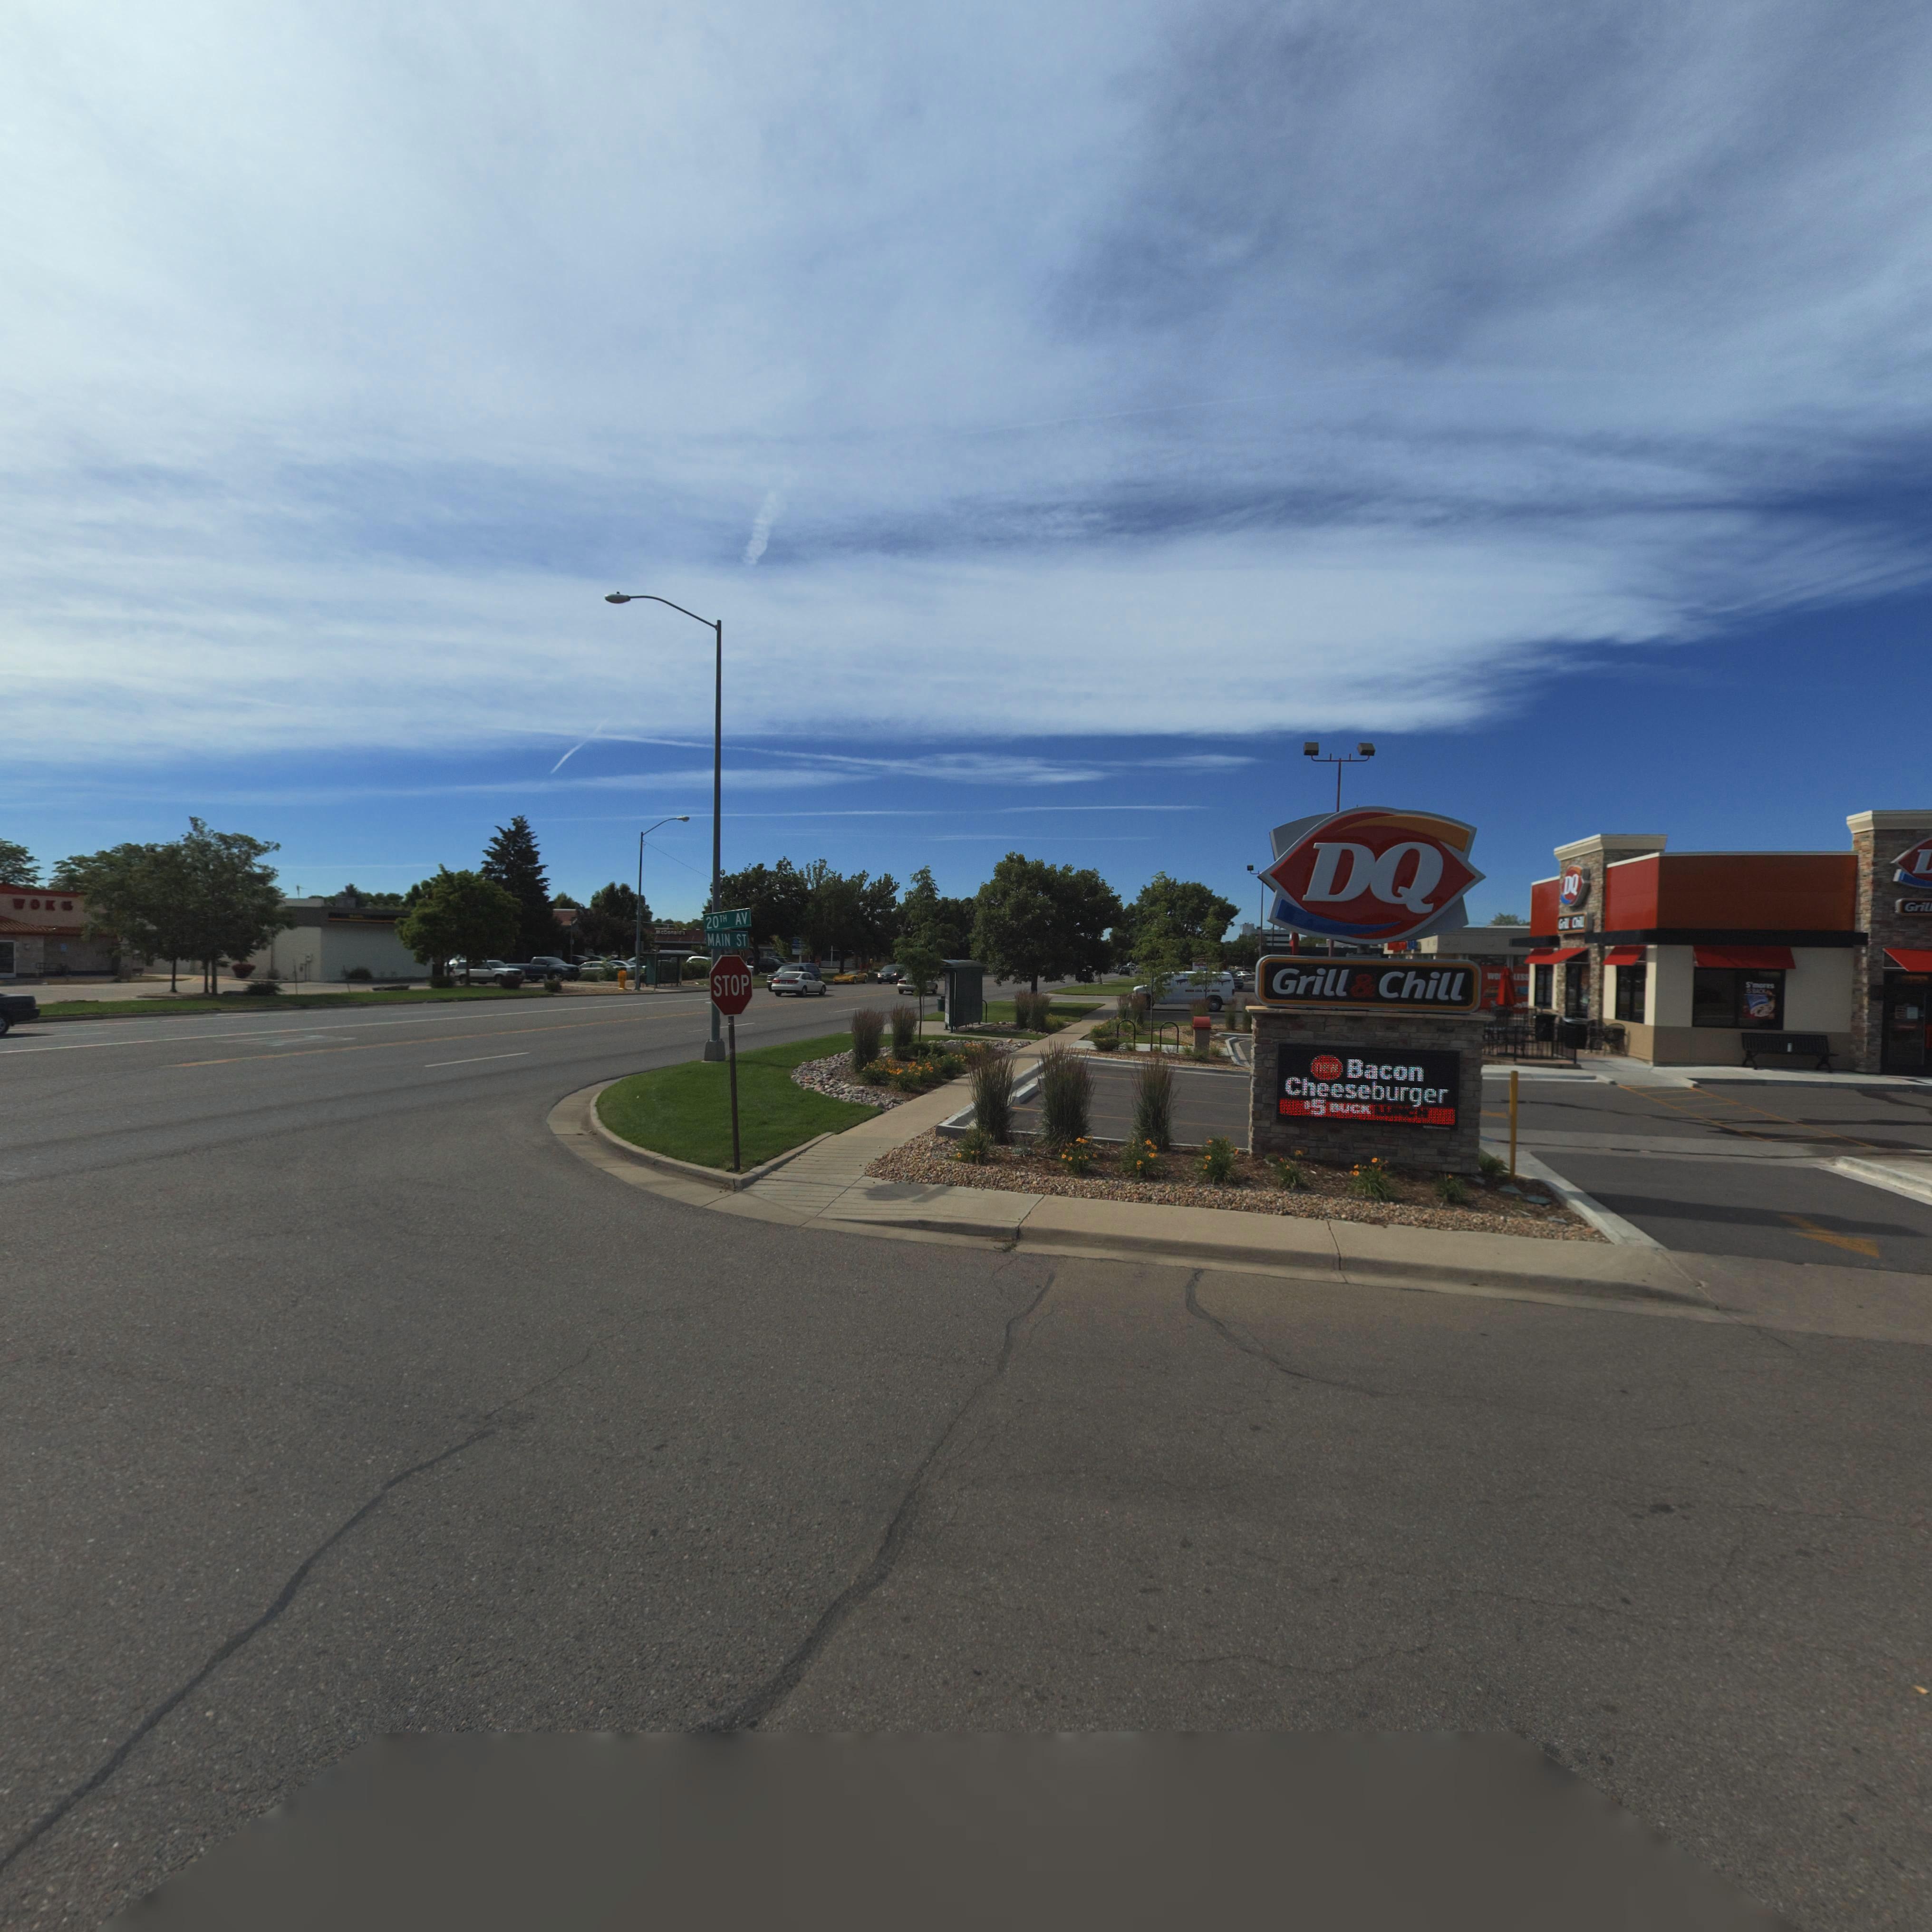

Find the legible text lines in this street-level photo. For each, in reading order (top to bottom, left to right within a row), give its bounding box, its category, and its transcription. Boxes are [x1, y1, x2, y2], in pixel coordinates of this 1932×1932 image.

[1301, 840, 1445, 915] BusinessName: DQ
[1563, 873, 1579, 896] BusinessName: DQ
[12, 898, 56, 911] BusinessName: *OK
[706, 911, 747, 929] StreetName: 20TH AV
[656, 929, 686, 935] BusinessName: *cDo**l**
[707, 933, 746, 947] StreetName: MAIN ST